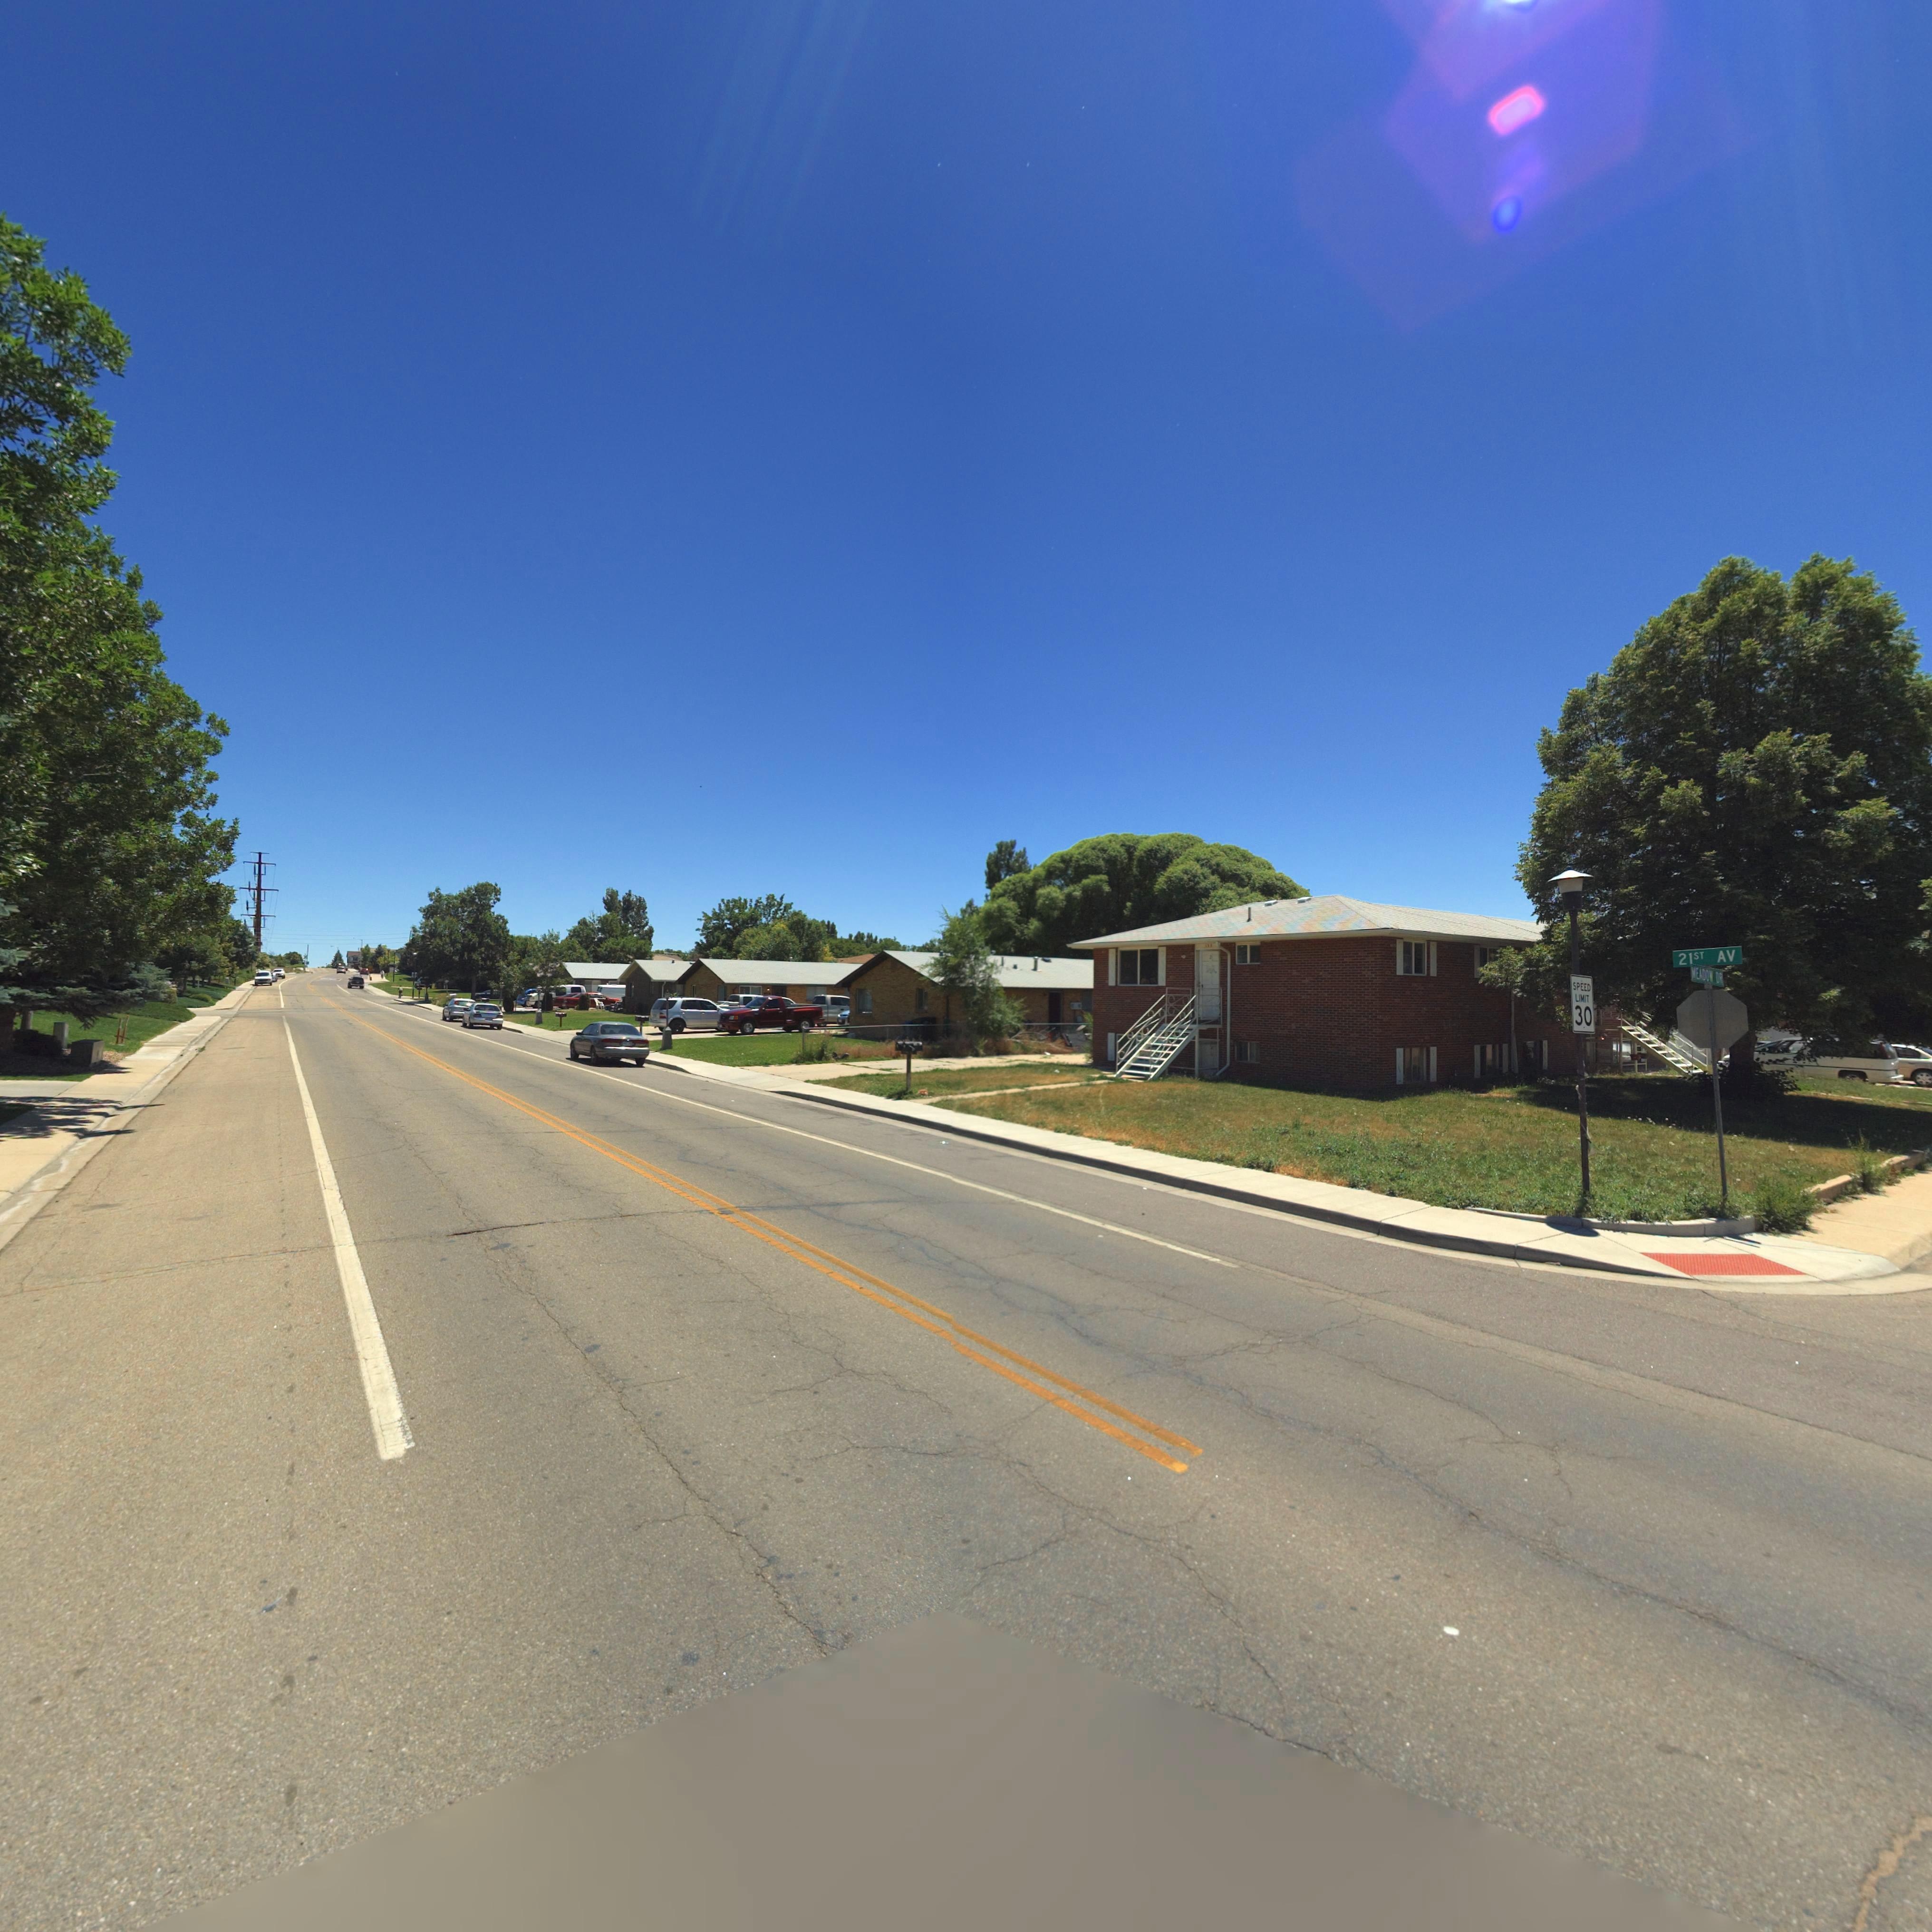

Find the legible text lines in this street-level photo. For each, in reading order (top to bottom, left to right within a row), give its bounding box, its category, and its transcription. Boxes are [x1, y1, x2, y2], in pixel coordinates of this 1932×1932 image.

[1205, 944, 1212, 948] StreetNumber: 135
[1677, 948, 1736, 965] StreetName: 21ST AV
[1690, 966, 1723, 985] StreetName: MEADOW DR